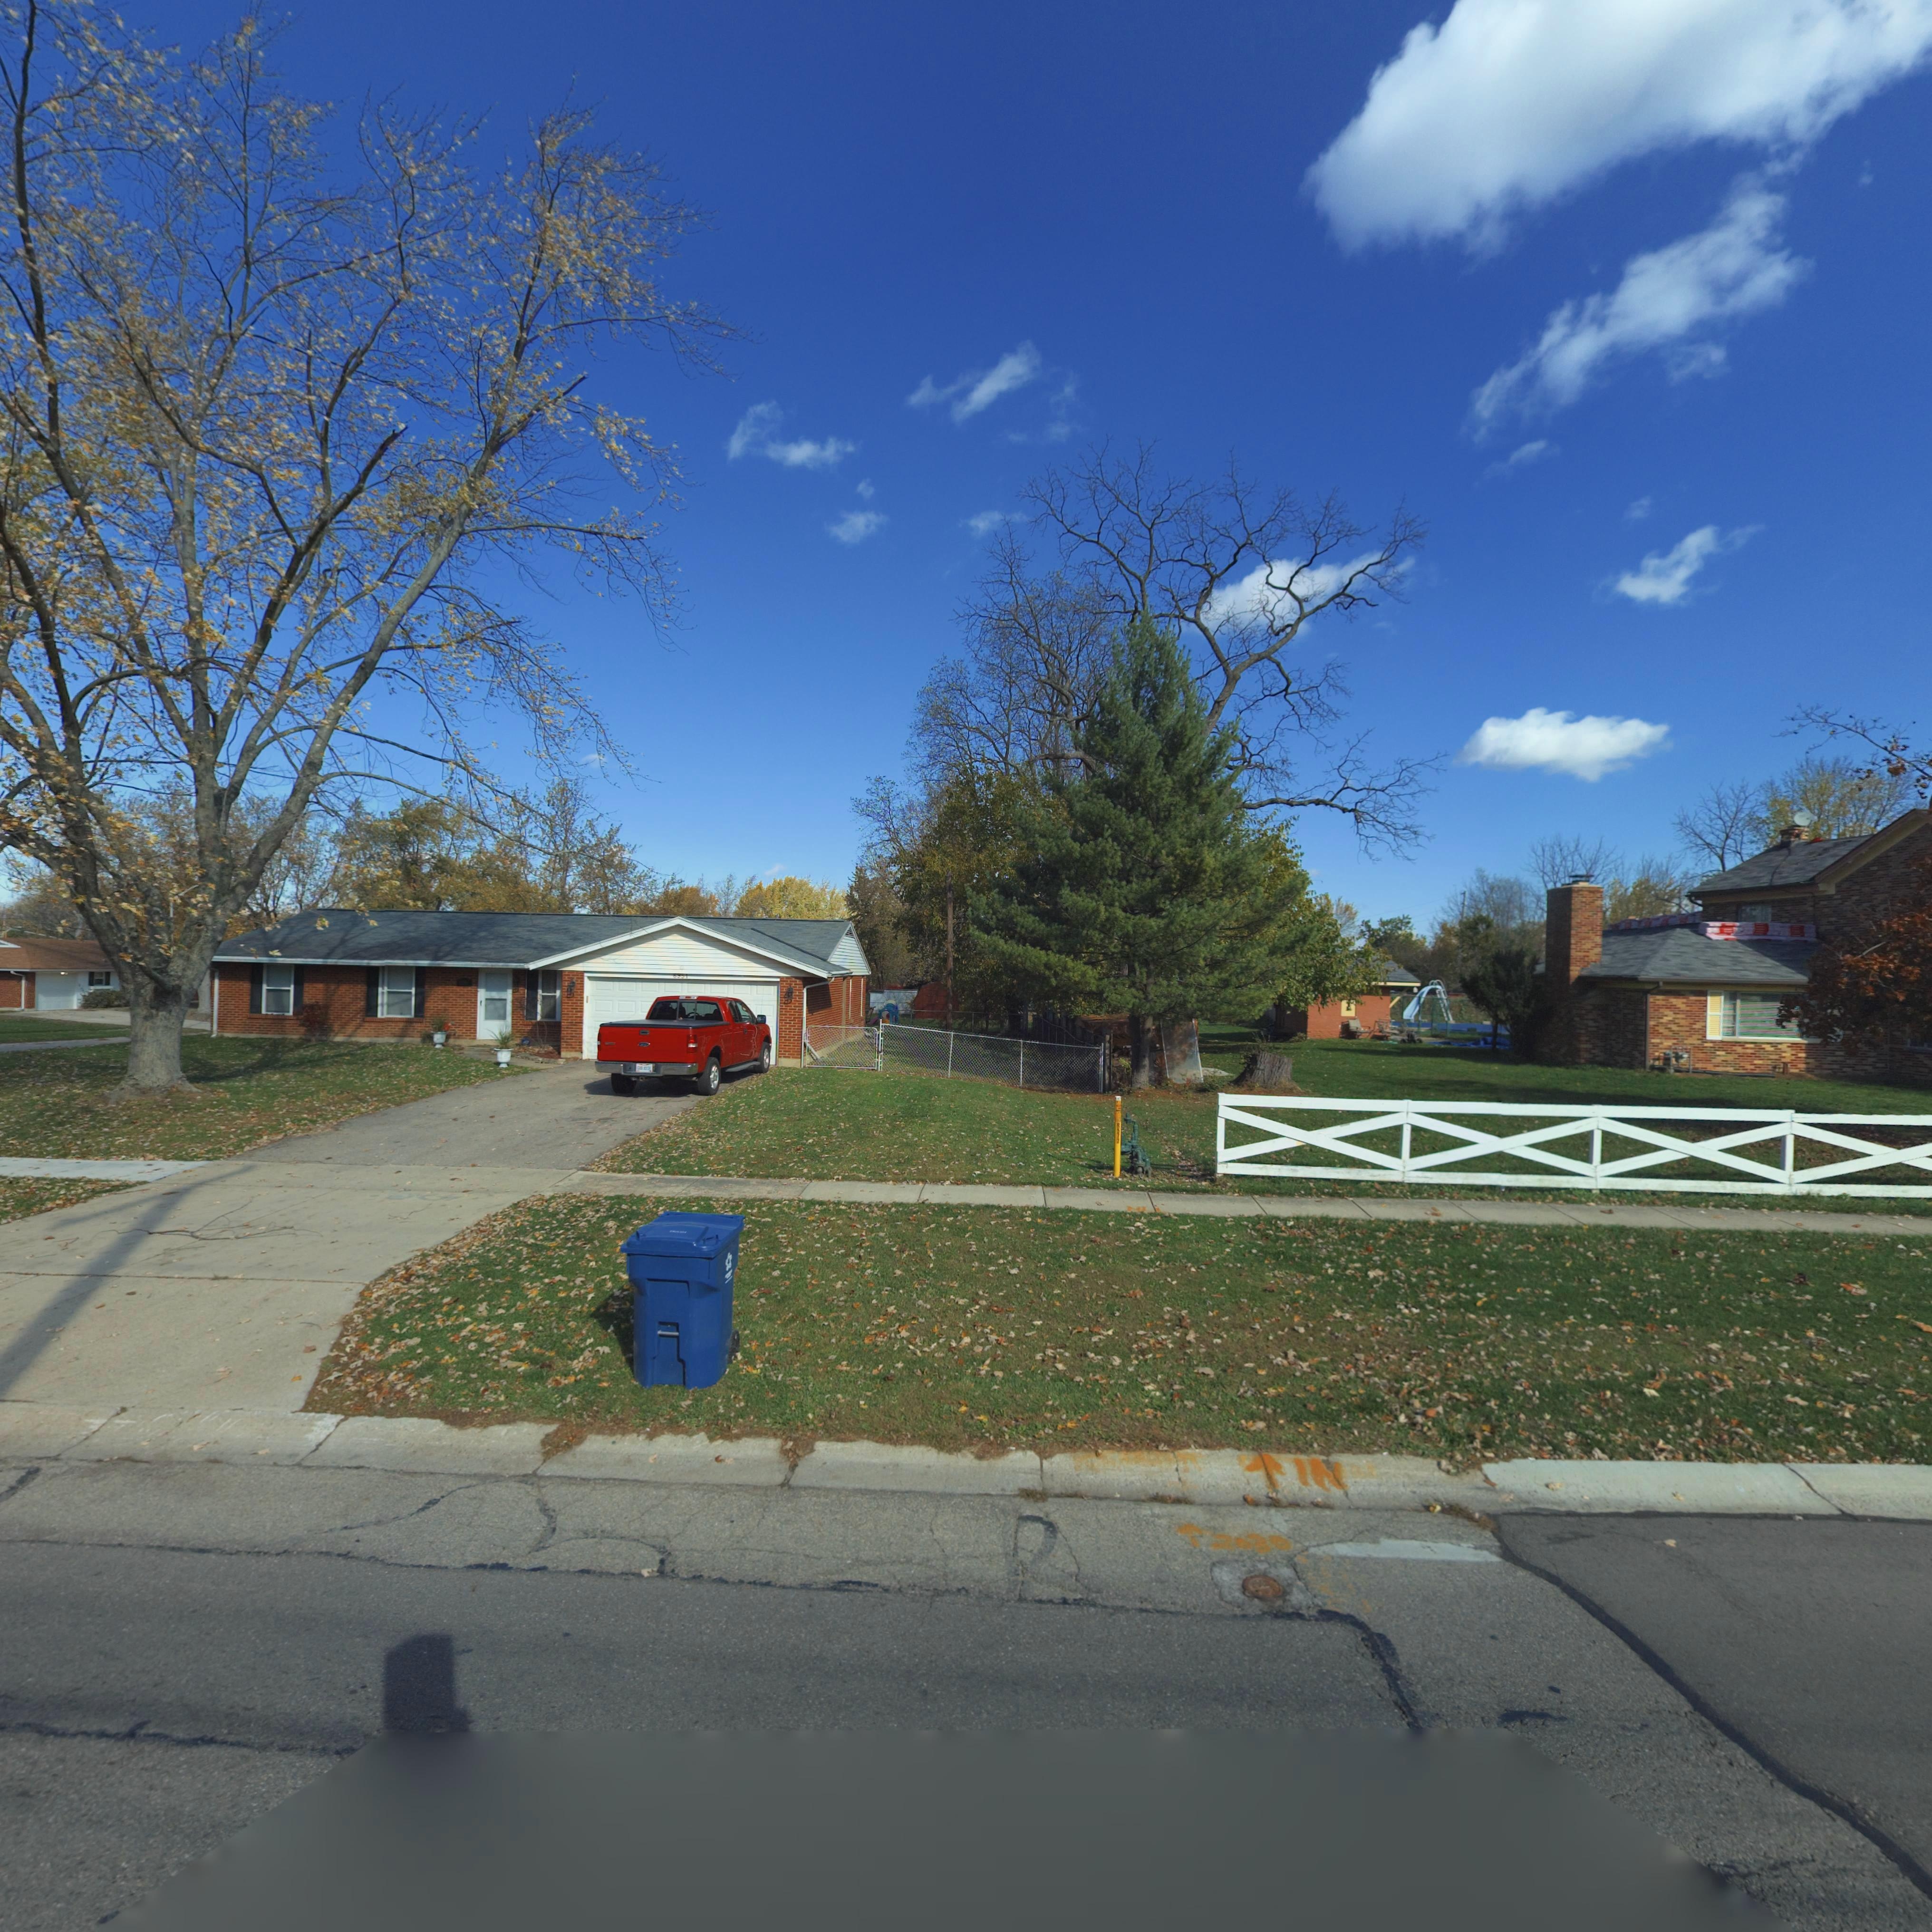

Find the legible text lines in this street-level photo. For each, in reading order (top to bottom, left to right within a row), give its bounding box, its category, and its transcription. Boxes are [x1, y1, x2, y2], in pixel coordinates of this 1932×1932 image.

[672, 973, 688, 979] StreetNumber: *9*1